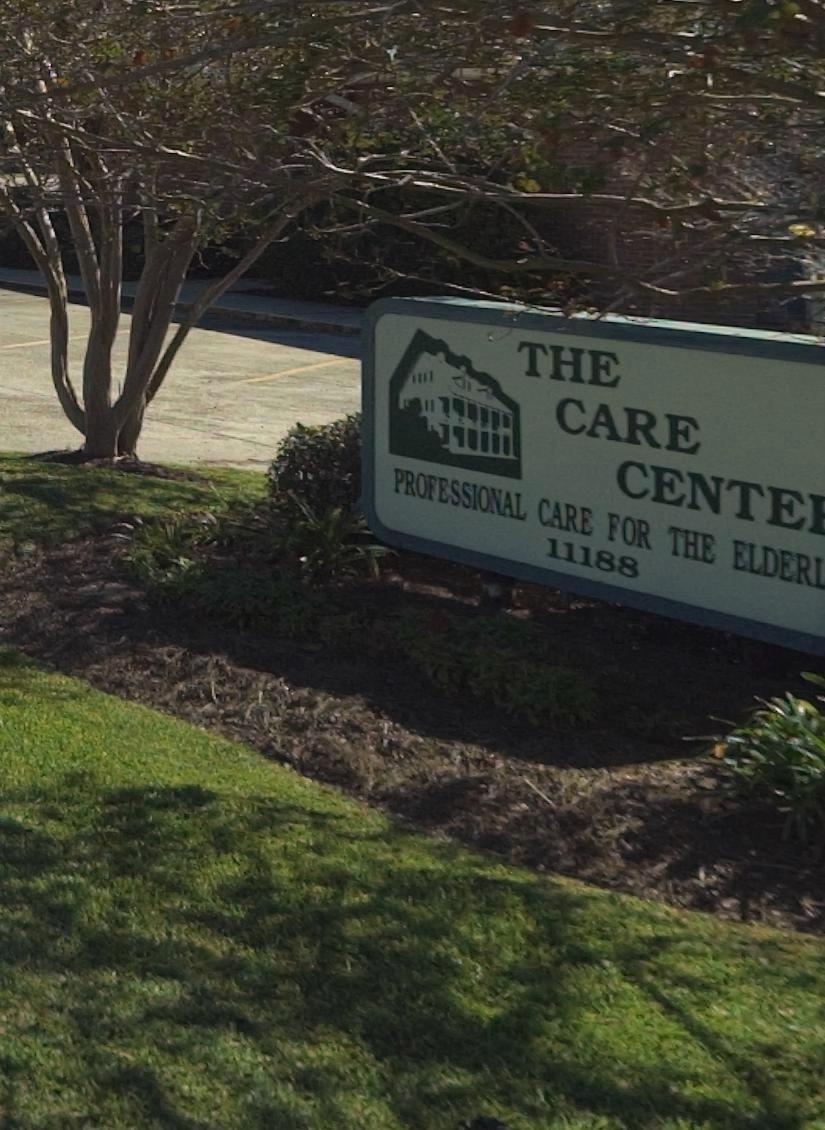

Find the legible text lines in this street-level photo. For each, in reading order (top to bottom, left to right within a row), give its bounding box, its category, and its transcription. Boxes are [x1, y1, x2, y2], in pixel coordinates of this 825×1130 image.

[512, 337, 624, 393] BusinessName: THE
[550, 393, 705, 461] BusinessName: CARE
[543, 533, 642, 583] StreetNumber: 11188
[389, 463, 818, 592] None: PROFESSIONAL CARE FOR THE ELDER
[614, 454, 811, 536] BusinessName: CENTE